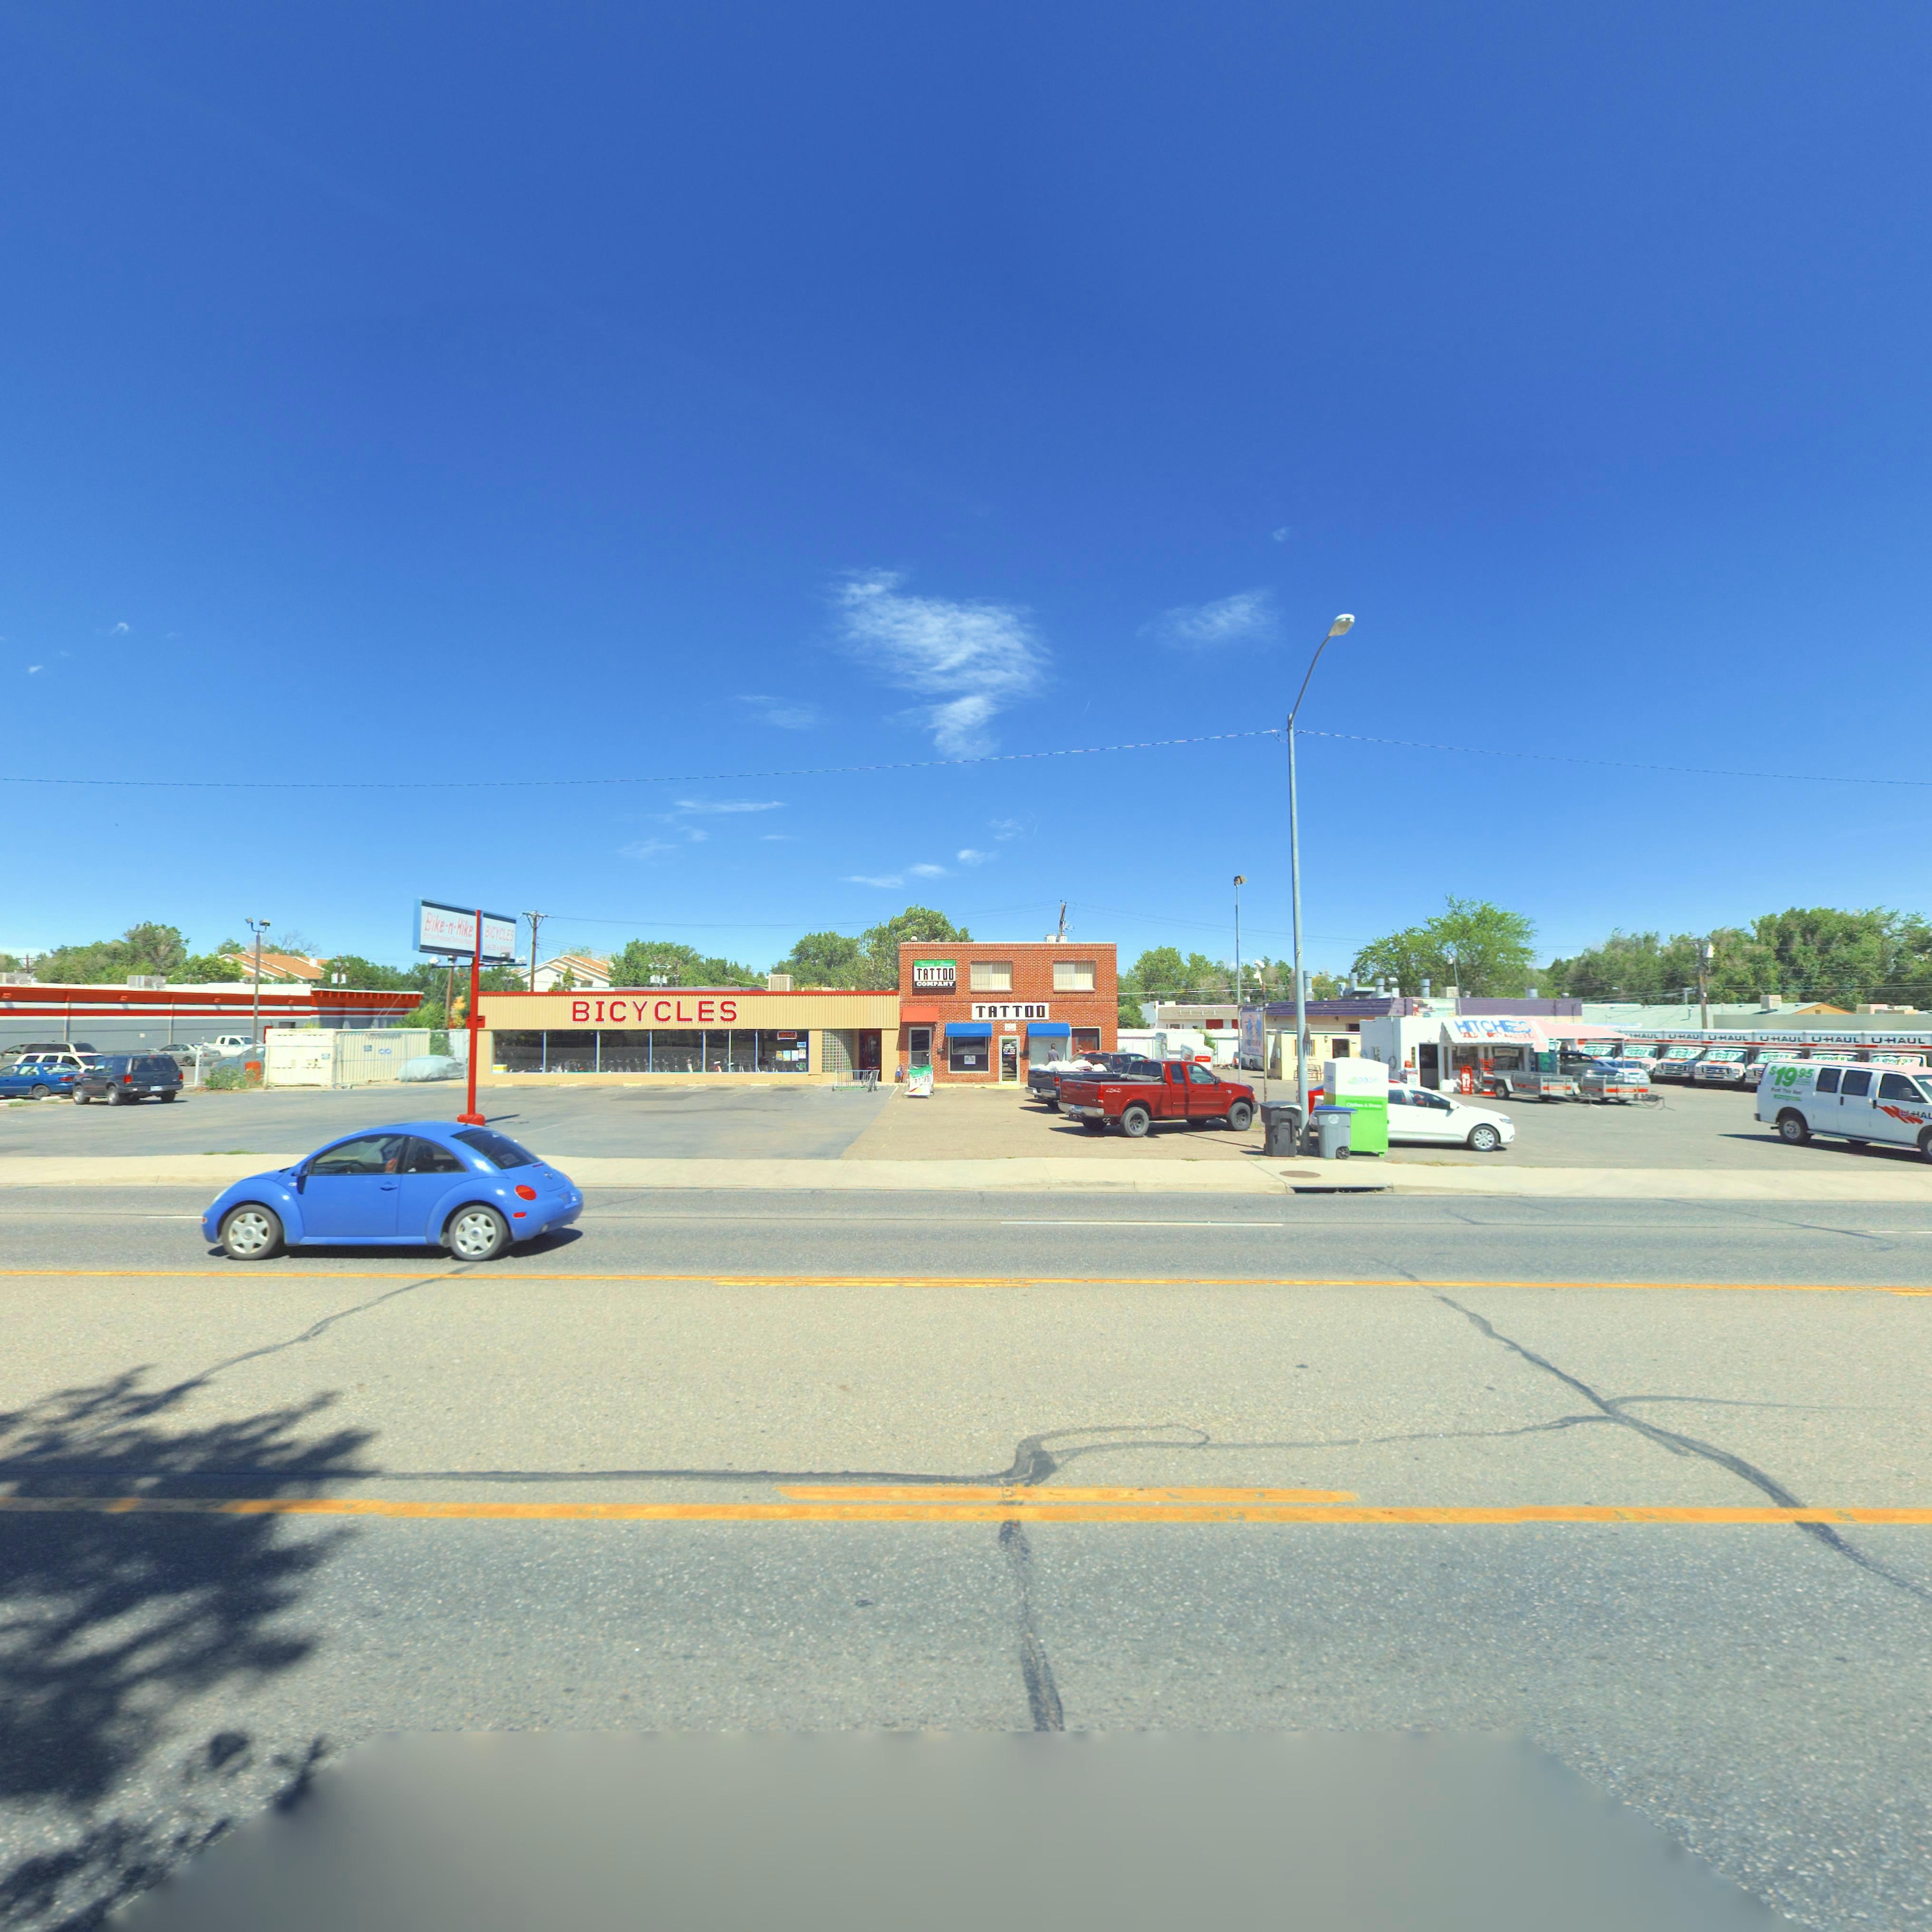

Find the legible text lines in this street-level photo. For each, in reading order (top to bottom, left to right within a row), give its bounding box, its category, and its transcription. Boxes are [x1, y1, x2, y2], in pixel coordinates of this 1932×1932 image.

[423, 911, 474, 937] BusinessName: Bike*n*Hike
[917, 960, 954, 966] BusinessName: T*** P***
[916, 967, 954, 980] BusinessName: TATTOO
[916, 981, 954, 986] BusinessName: COMPANY
[975, 1005, 1046, 1018] BusinessName: TATTOO